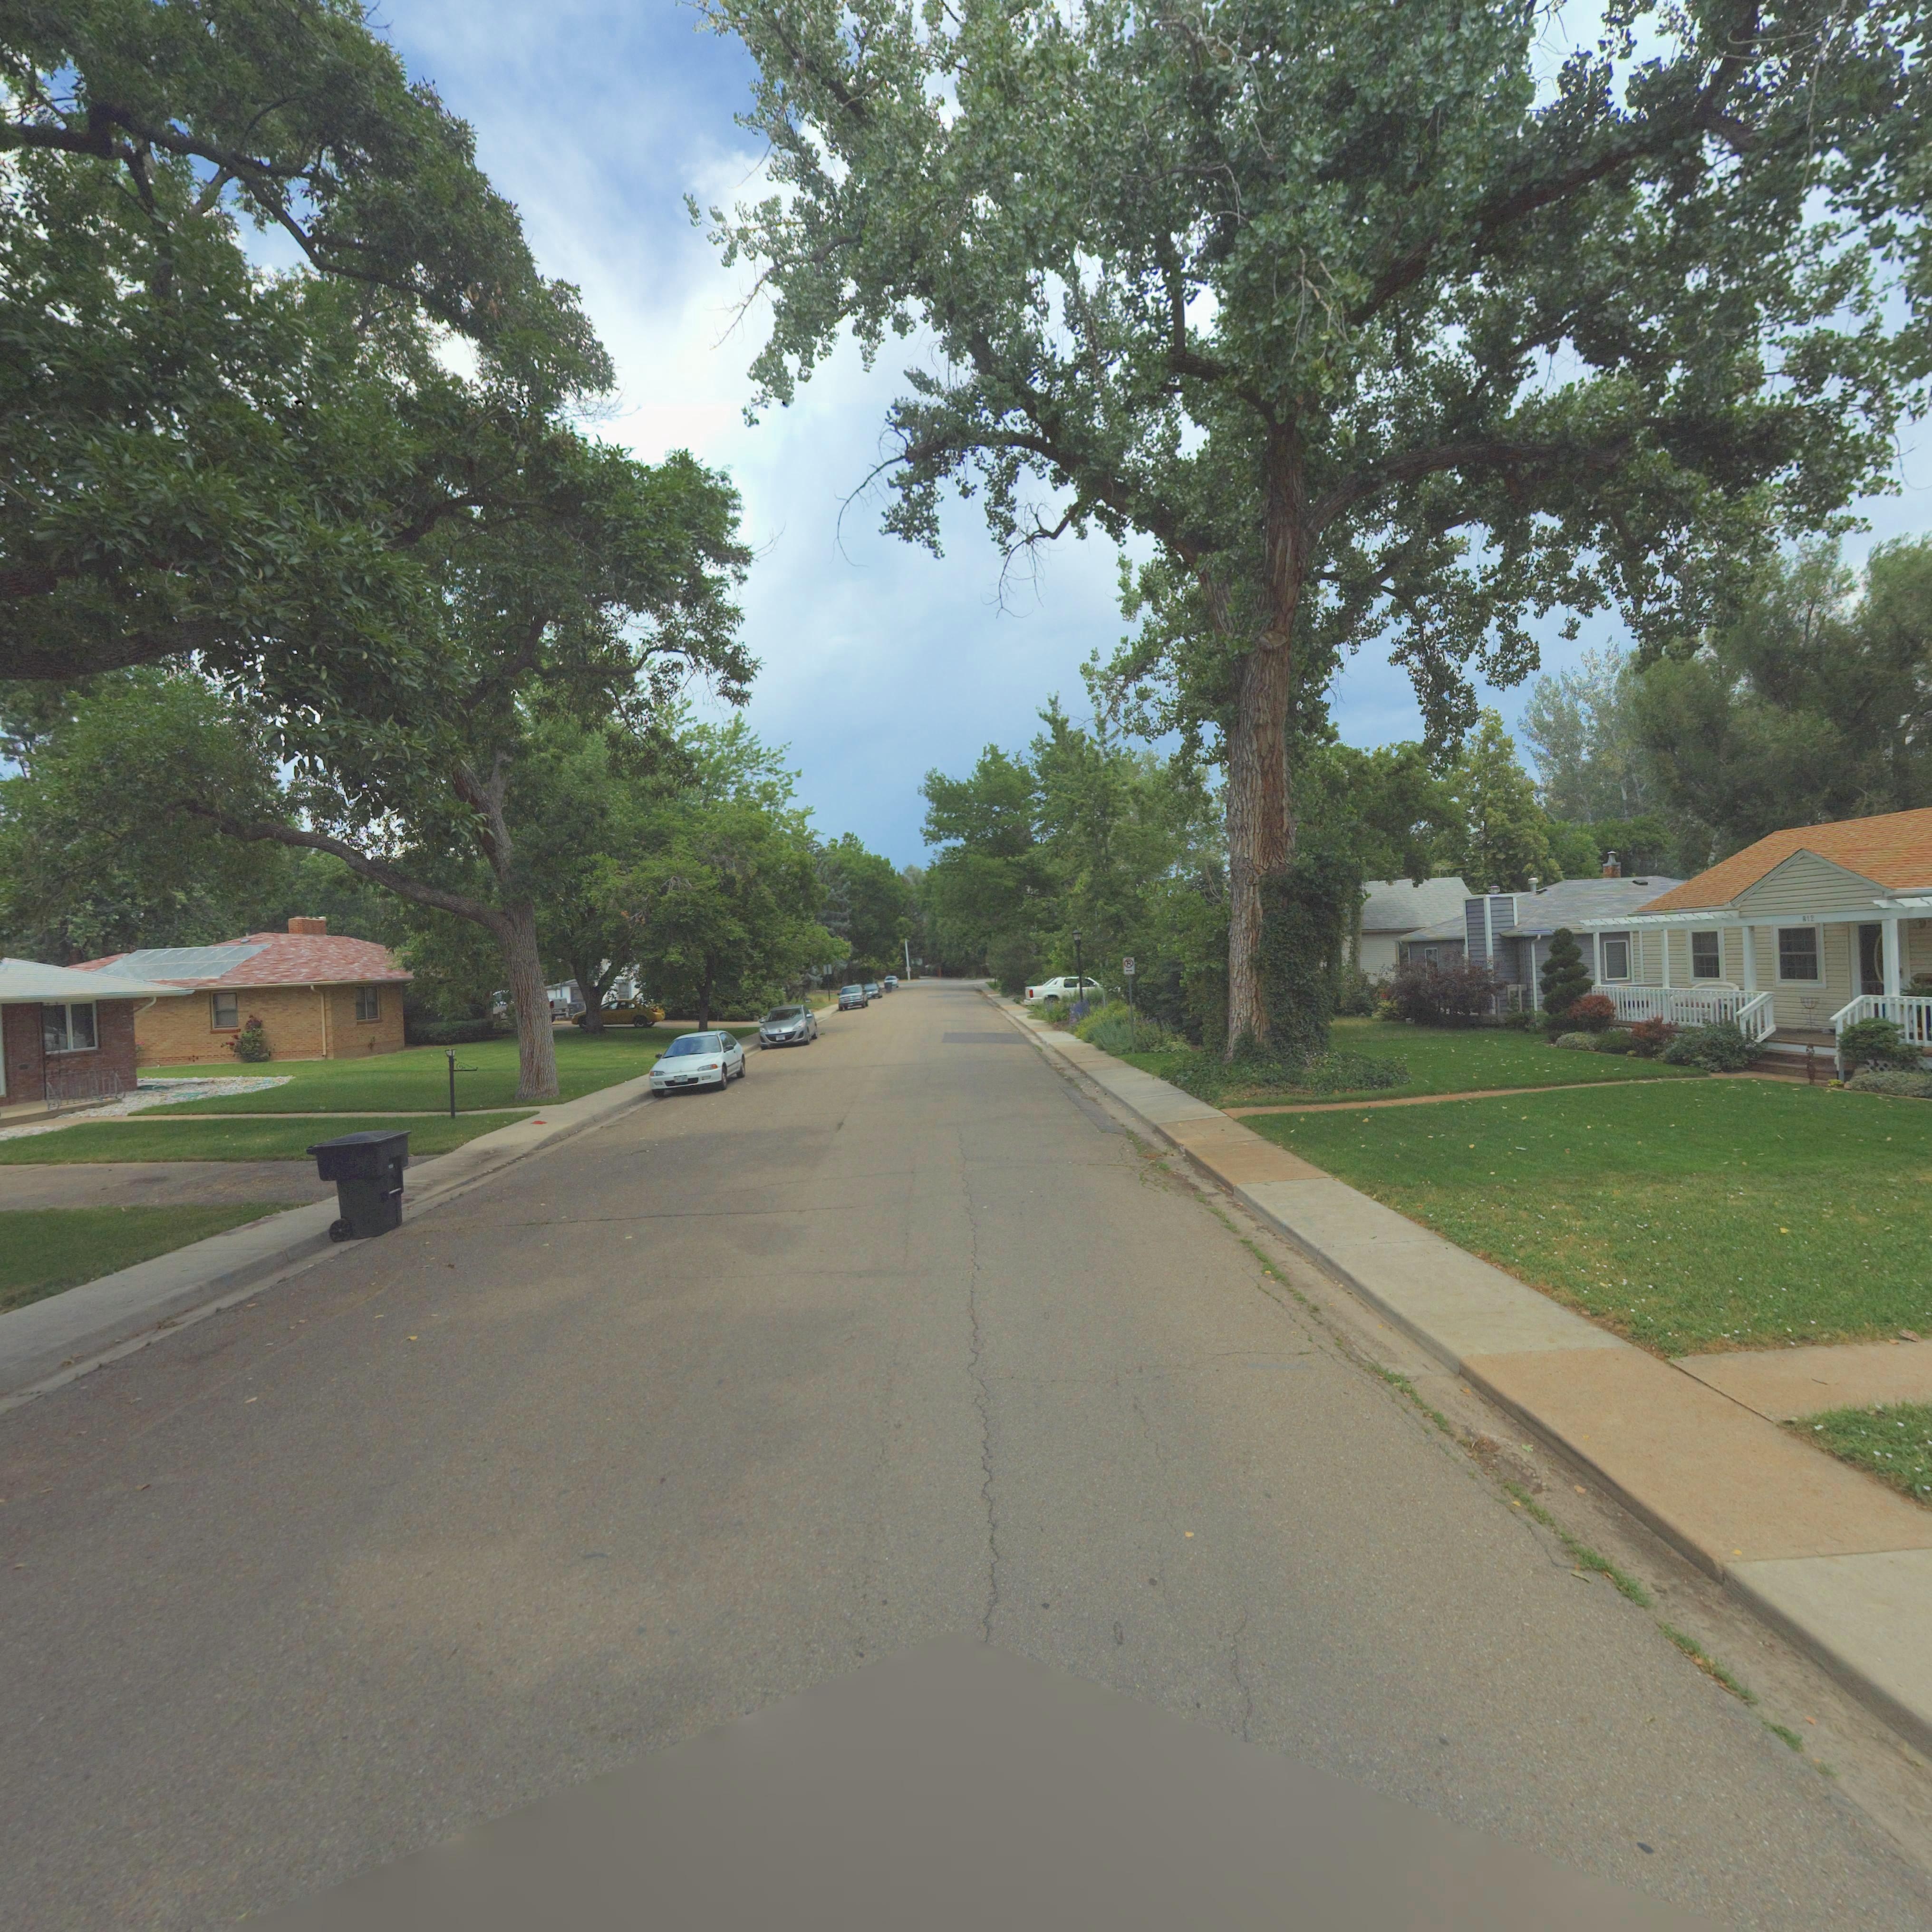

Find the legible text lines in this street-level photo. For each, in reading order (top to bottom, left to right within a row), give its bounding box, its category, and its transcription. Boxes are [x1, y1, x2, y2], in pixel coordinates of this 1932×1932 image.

[1802, 914, 1815, 922] StreetNumber: 812